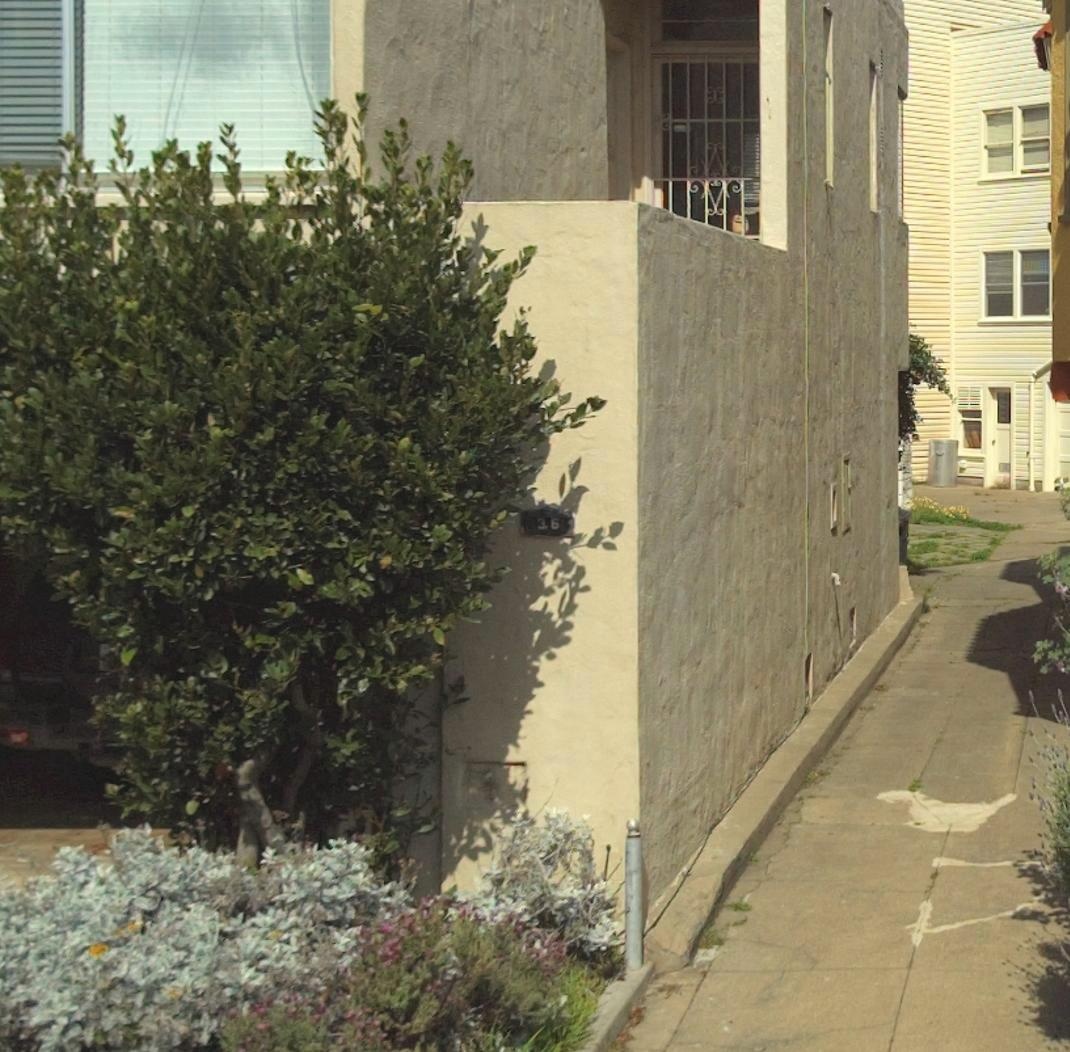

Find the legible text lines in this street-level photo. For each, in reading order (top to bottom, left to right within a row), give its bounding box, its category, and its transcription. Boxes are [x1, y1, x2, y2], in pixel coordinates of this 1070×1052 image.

[535, 516, 562, 532] StreetNumber: 36